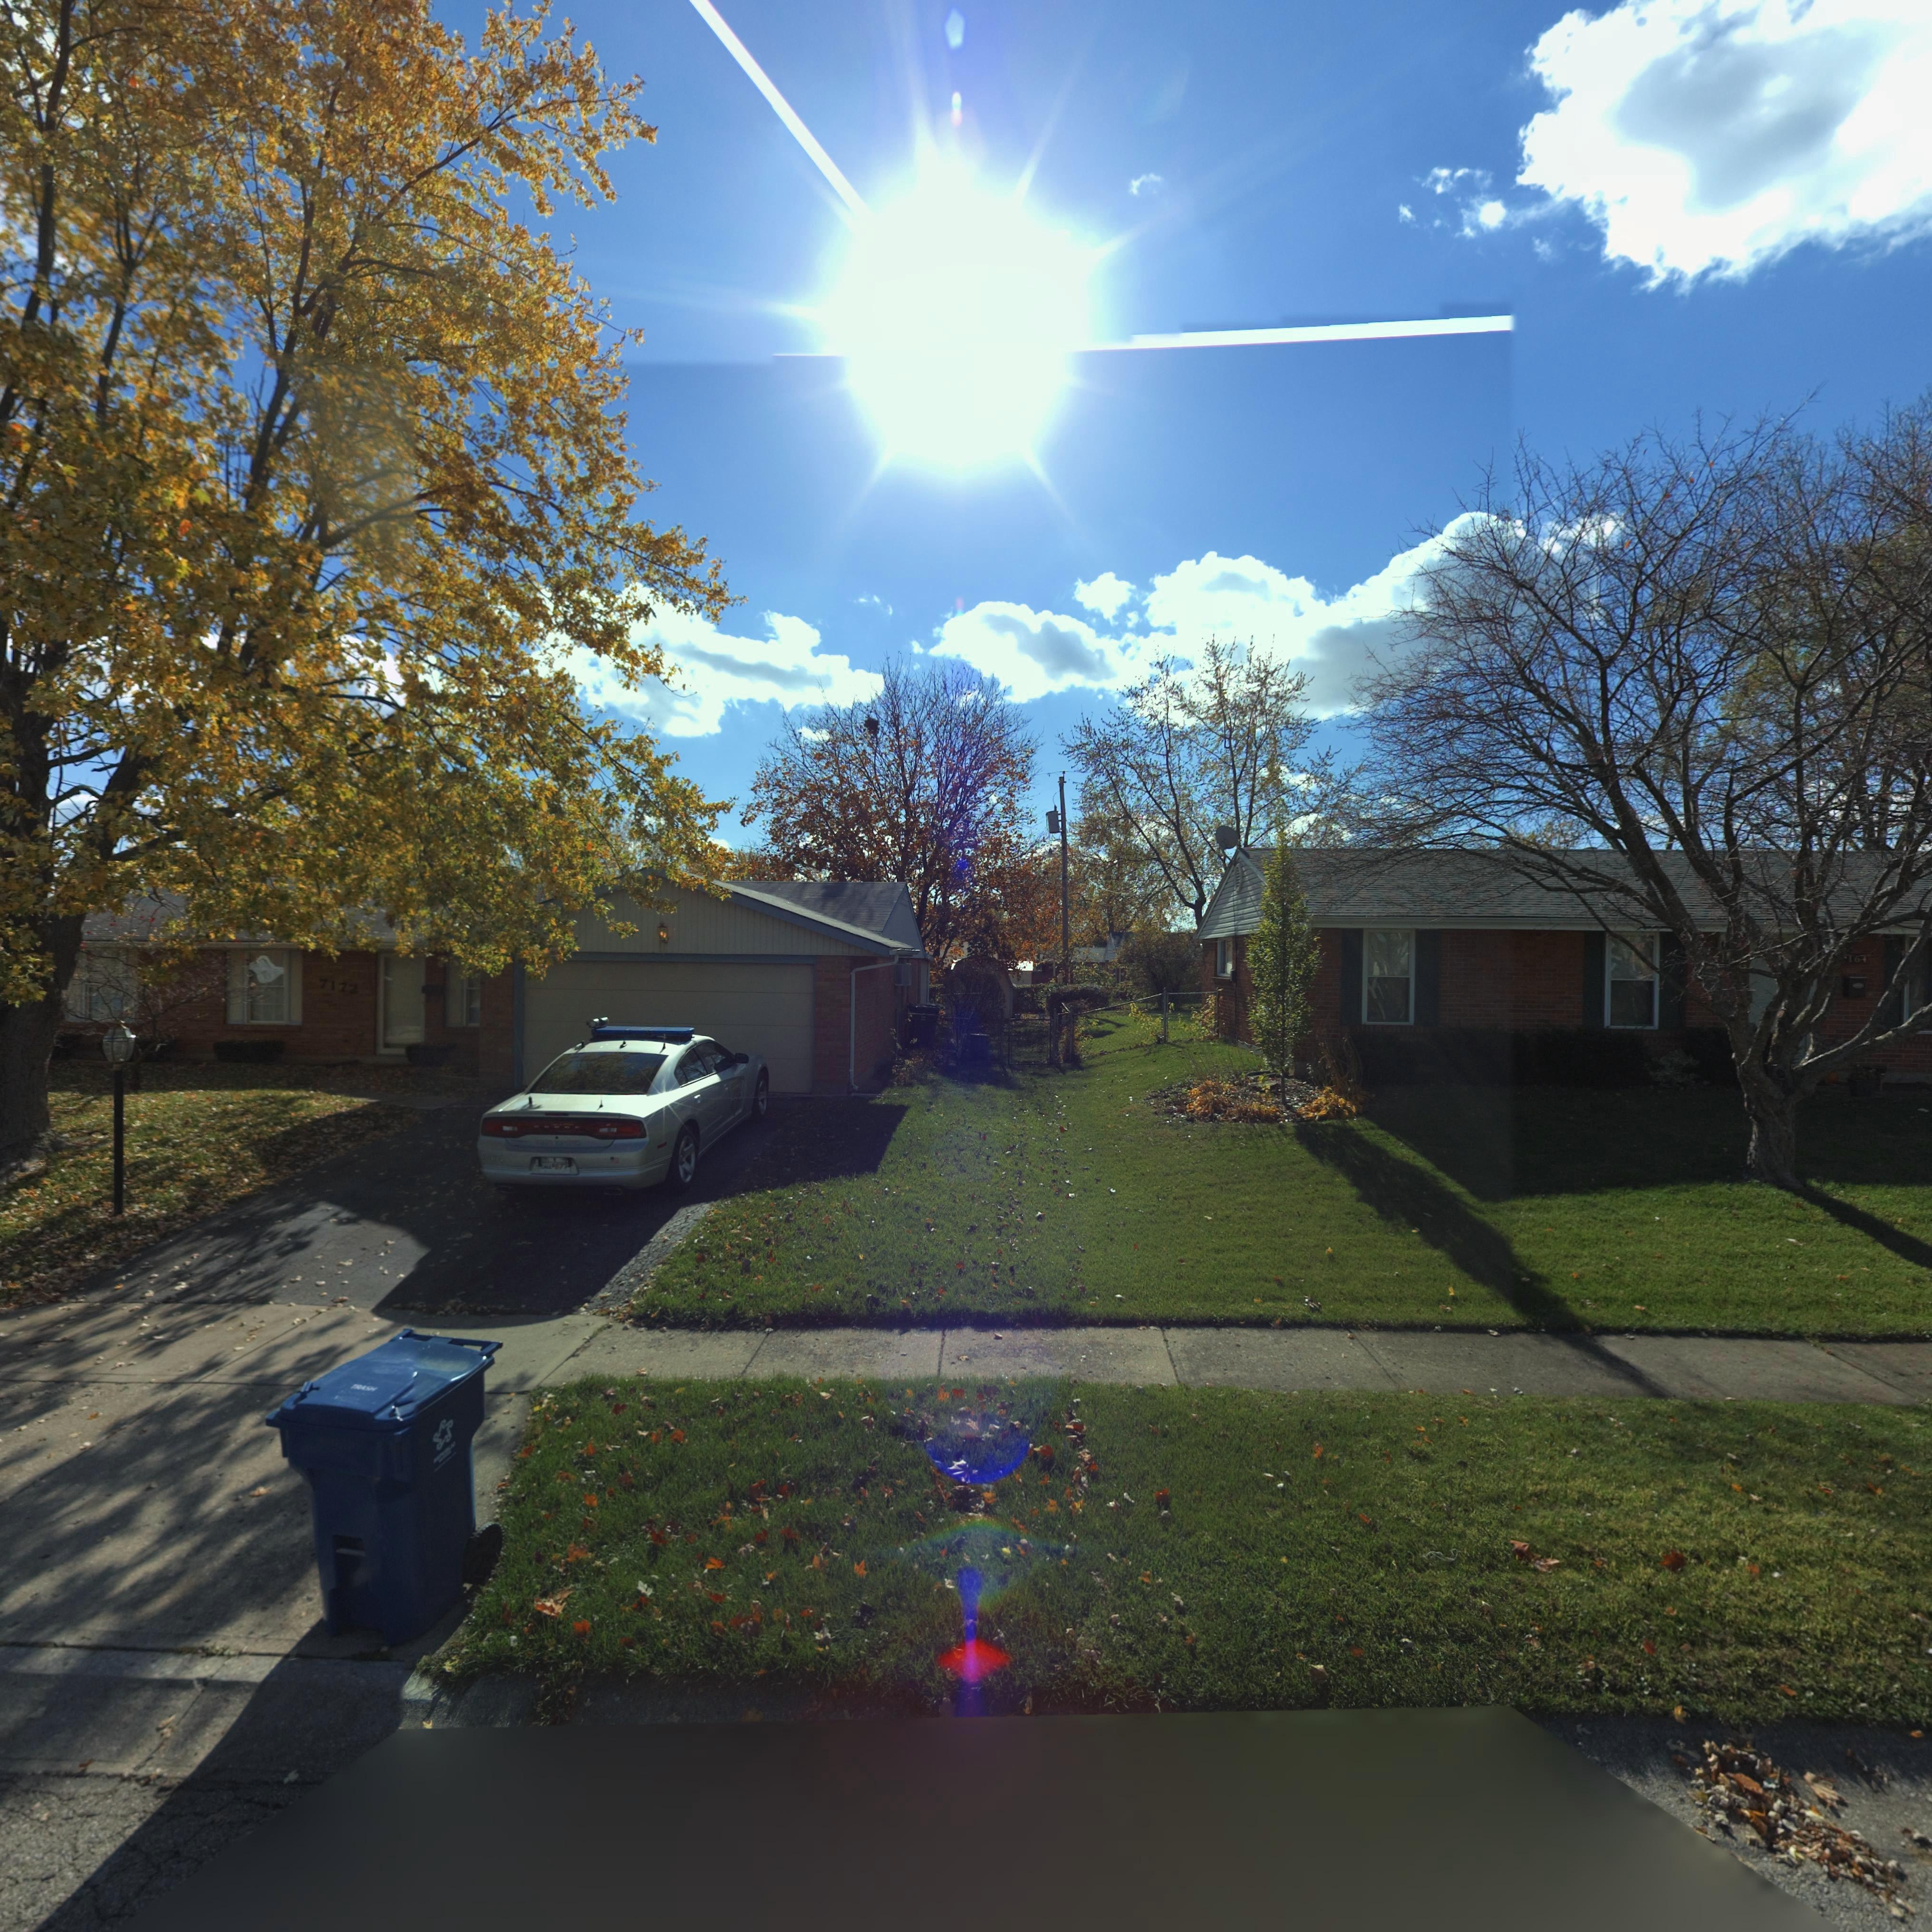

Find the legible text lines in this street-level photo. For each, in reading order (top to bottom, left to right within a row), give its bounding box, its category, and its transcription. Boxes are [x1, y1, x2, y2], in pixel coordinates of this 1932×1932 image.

[319, 977, 359, 995] StreetNumber: 7172